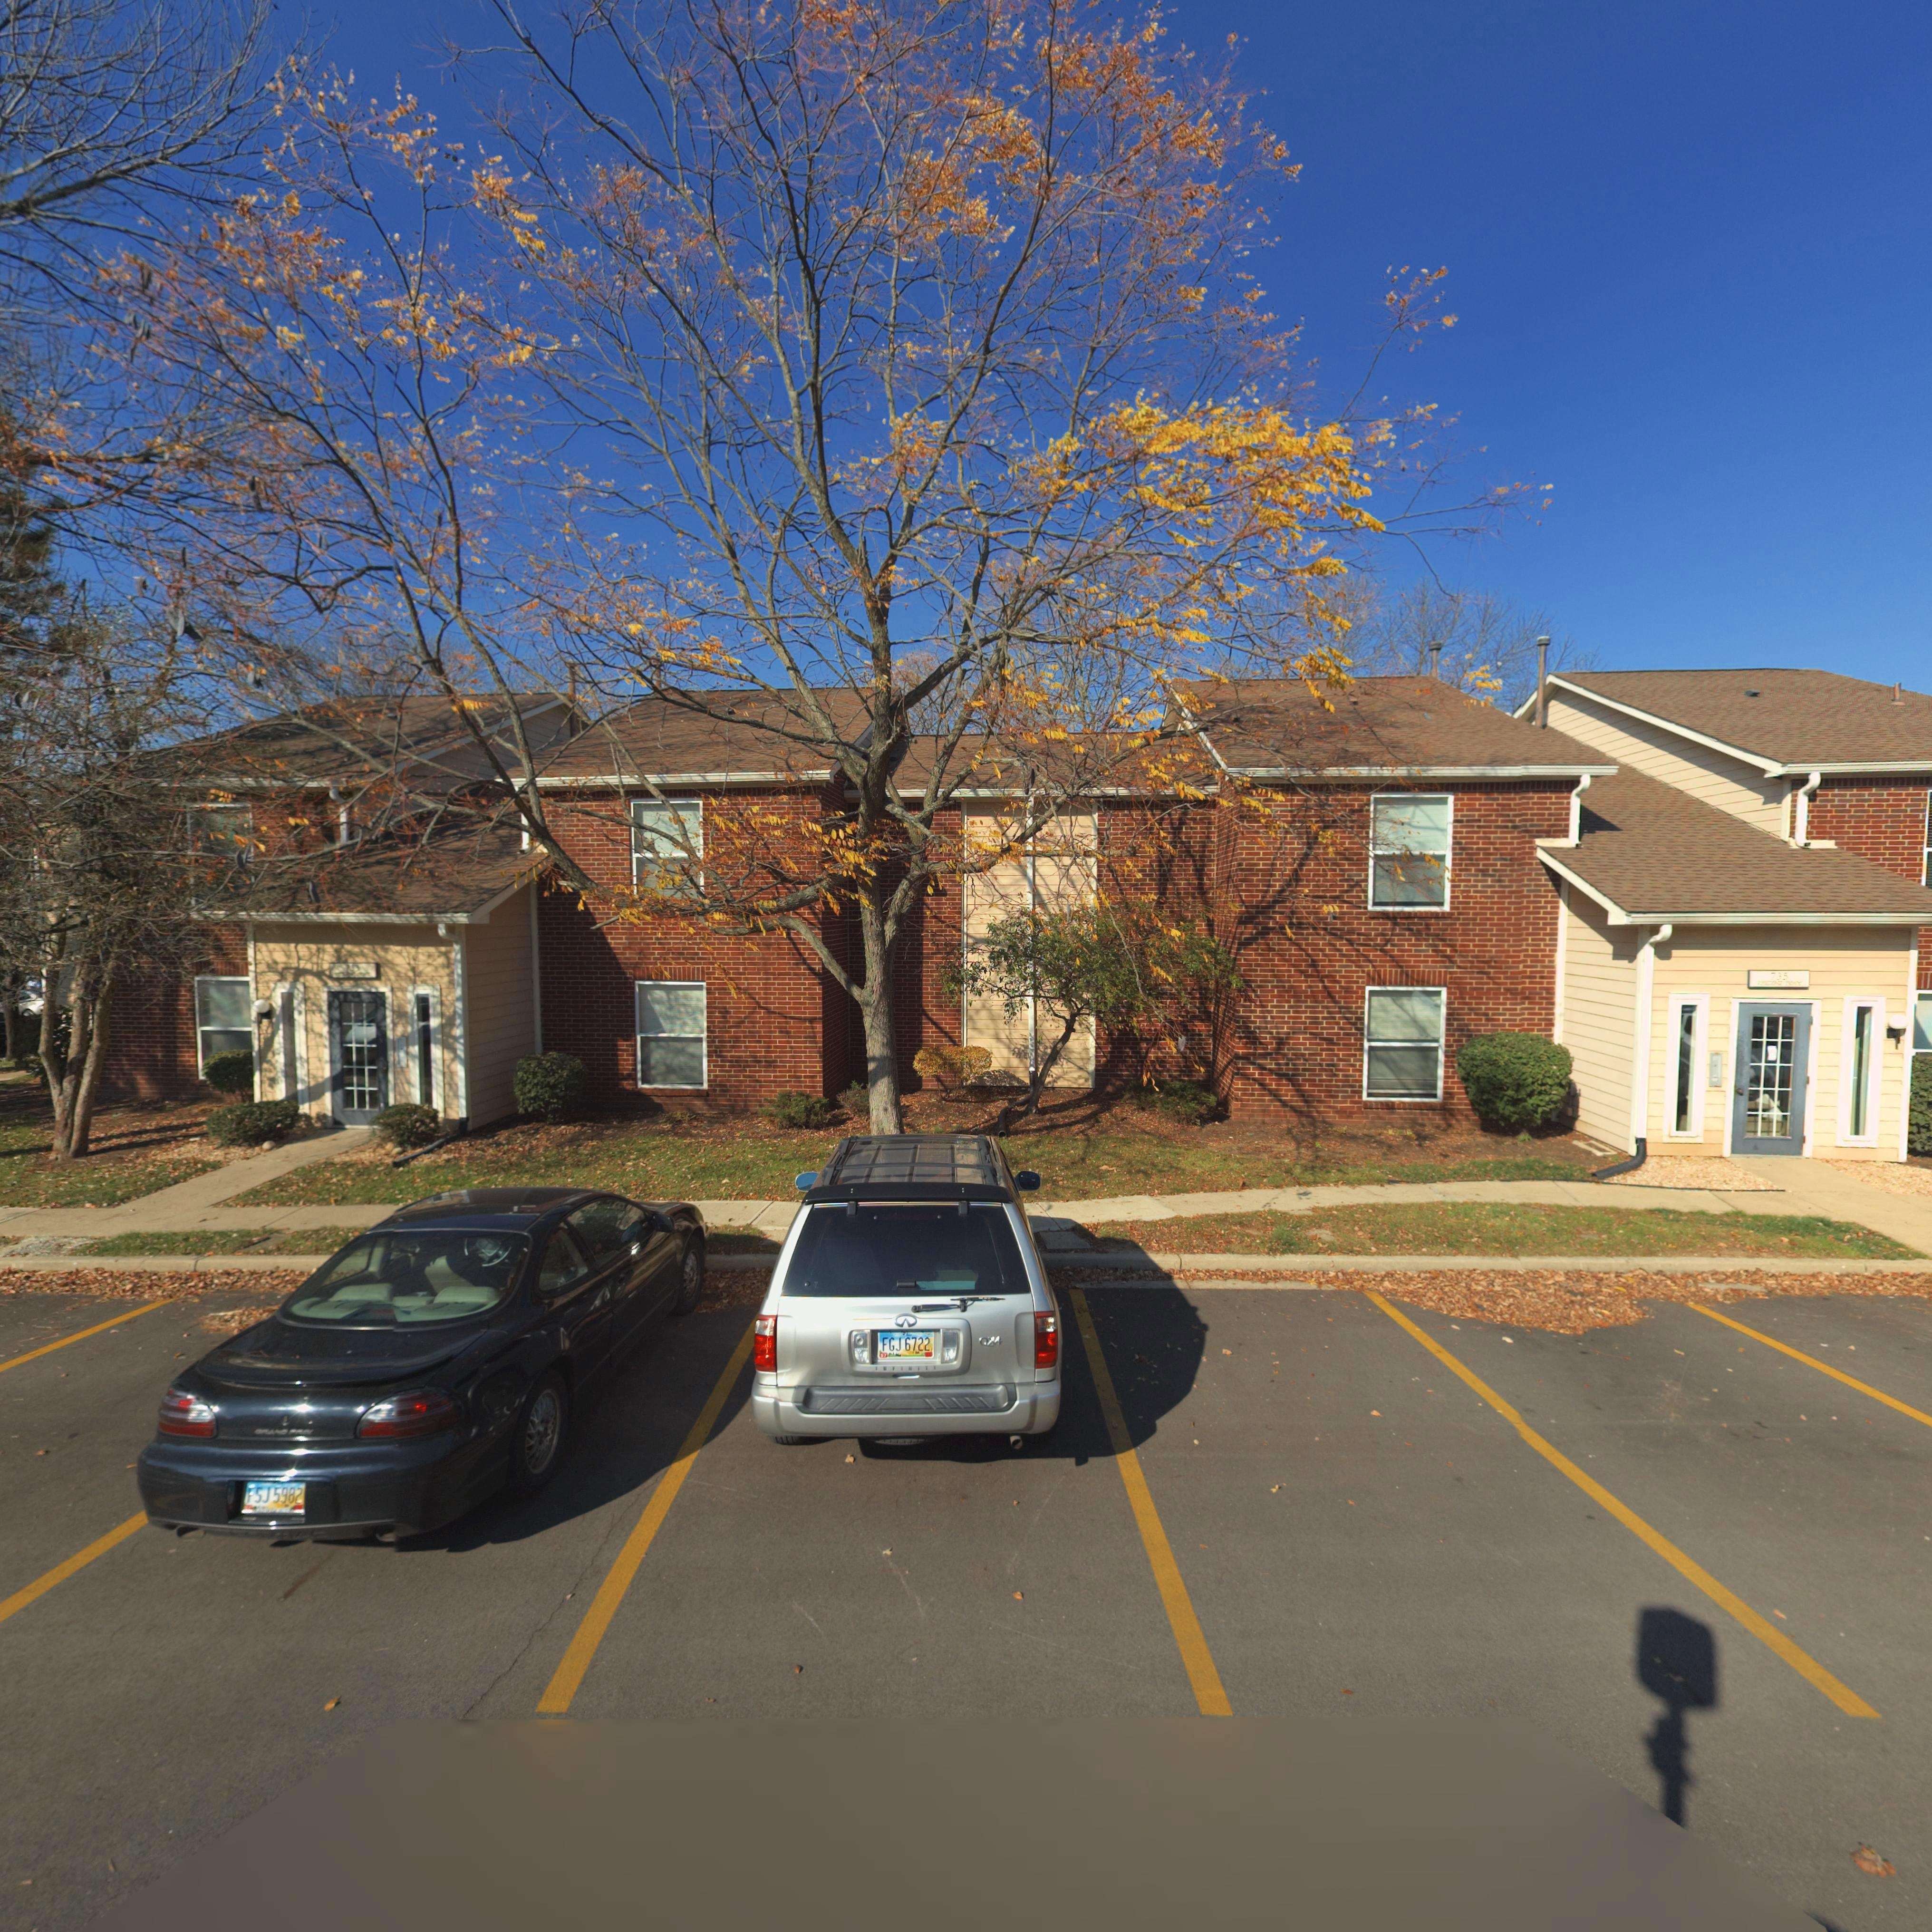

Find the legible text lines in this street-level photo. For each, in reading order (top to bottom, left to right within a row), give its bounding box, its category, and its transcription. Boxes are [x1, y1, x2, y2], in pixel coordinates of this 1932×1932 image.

[1769, 971, 1789, 982] StreetNumber: 7*5
[881, 1336, 931, 1352] None: FGJ 6722
[243, 1485, 304, 1506] None: FSJ 5982